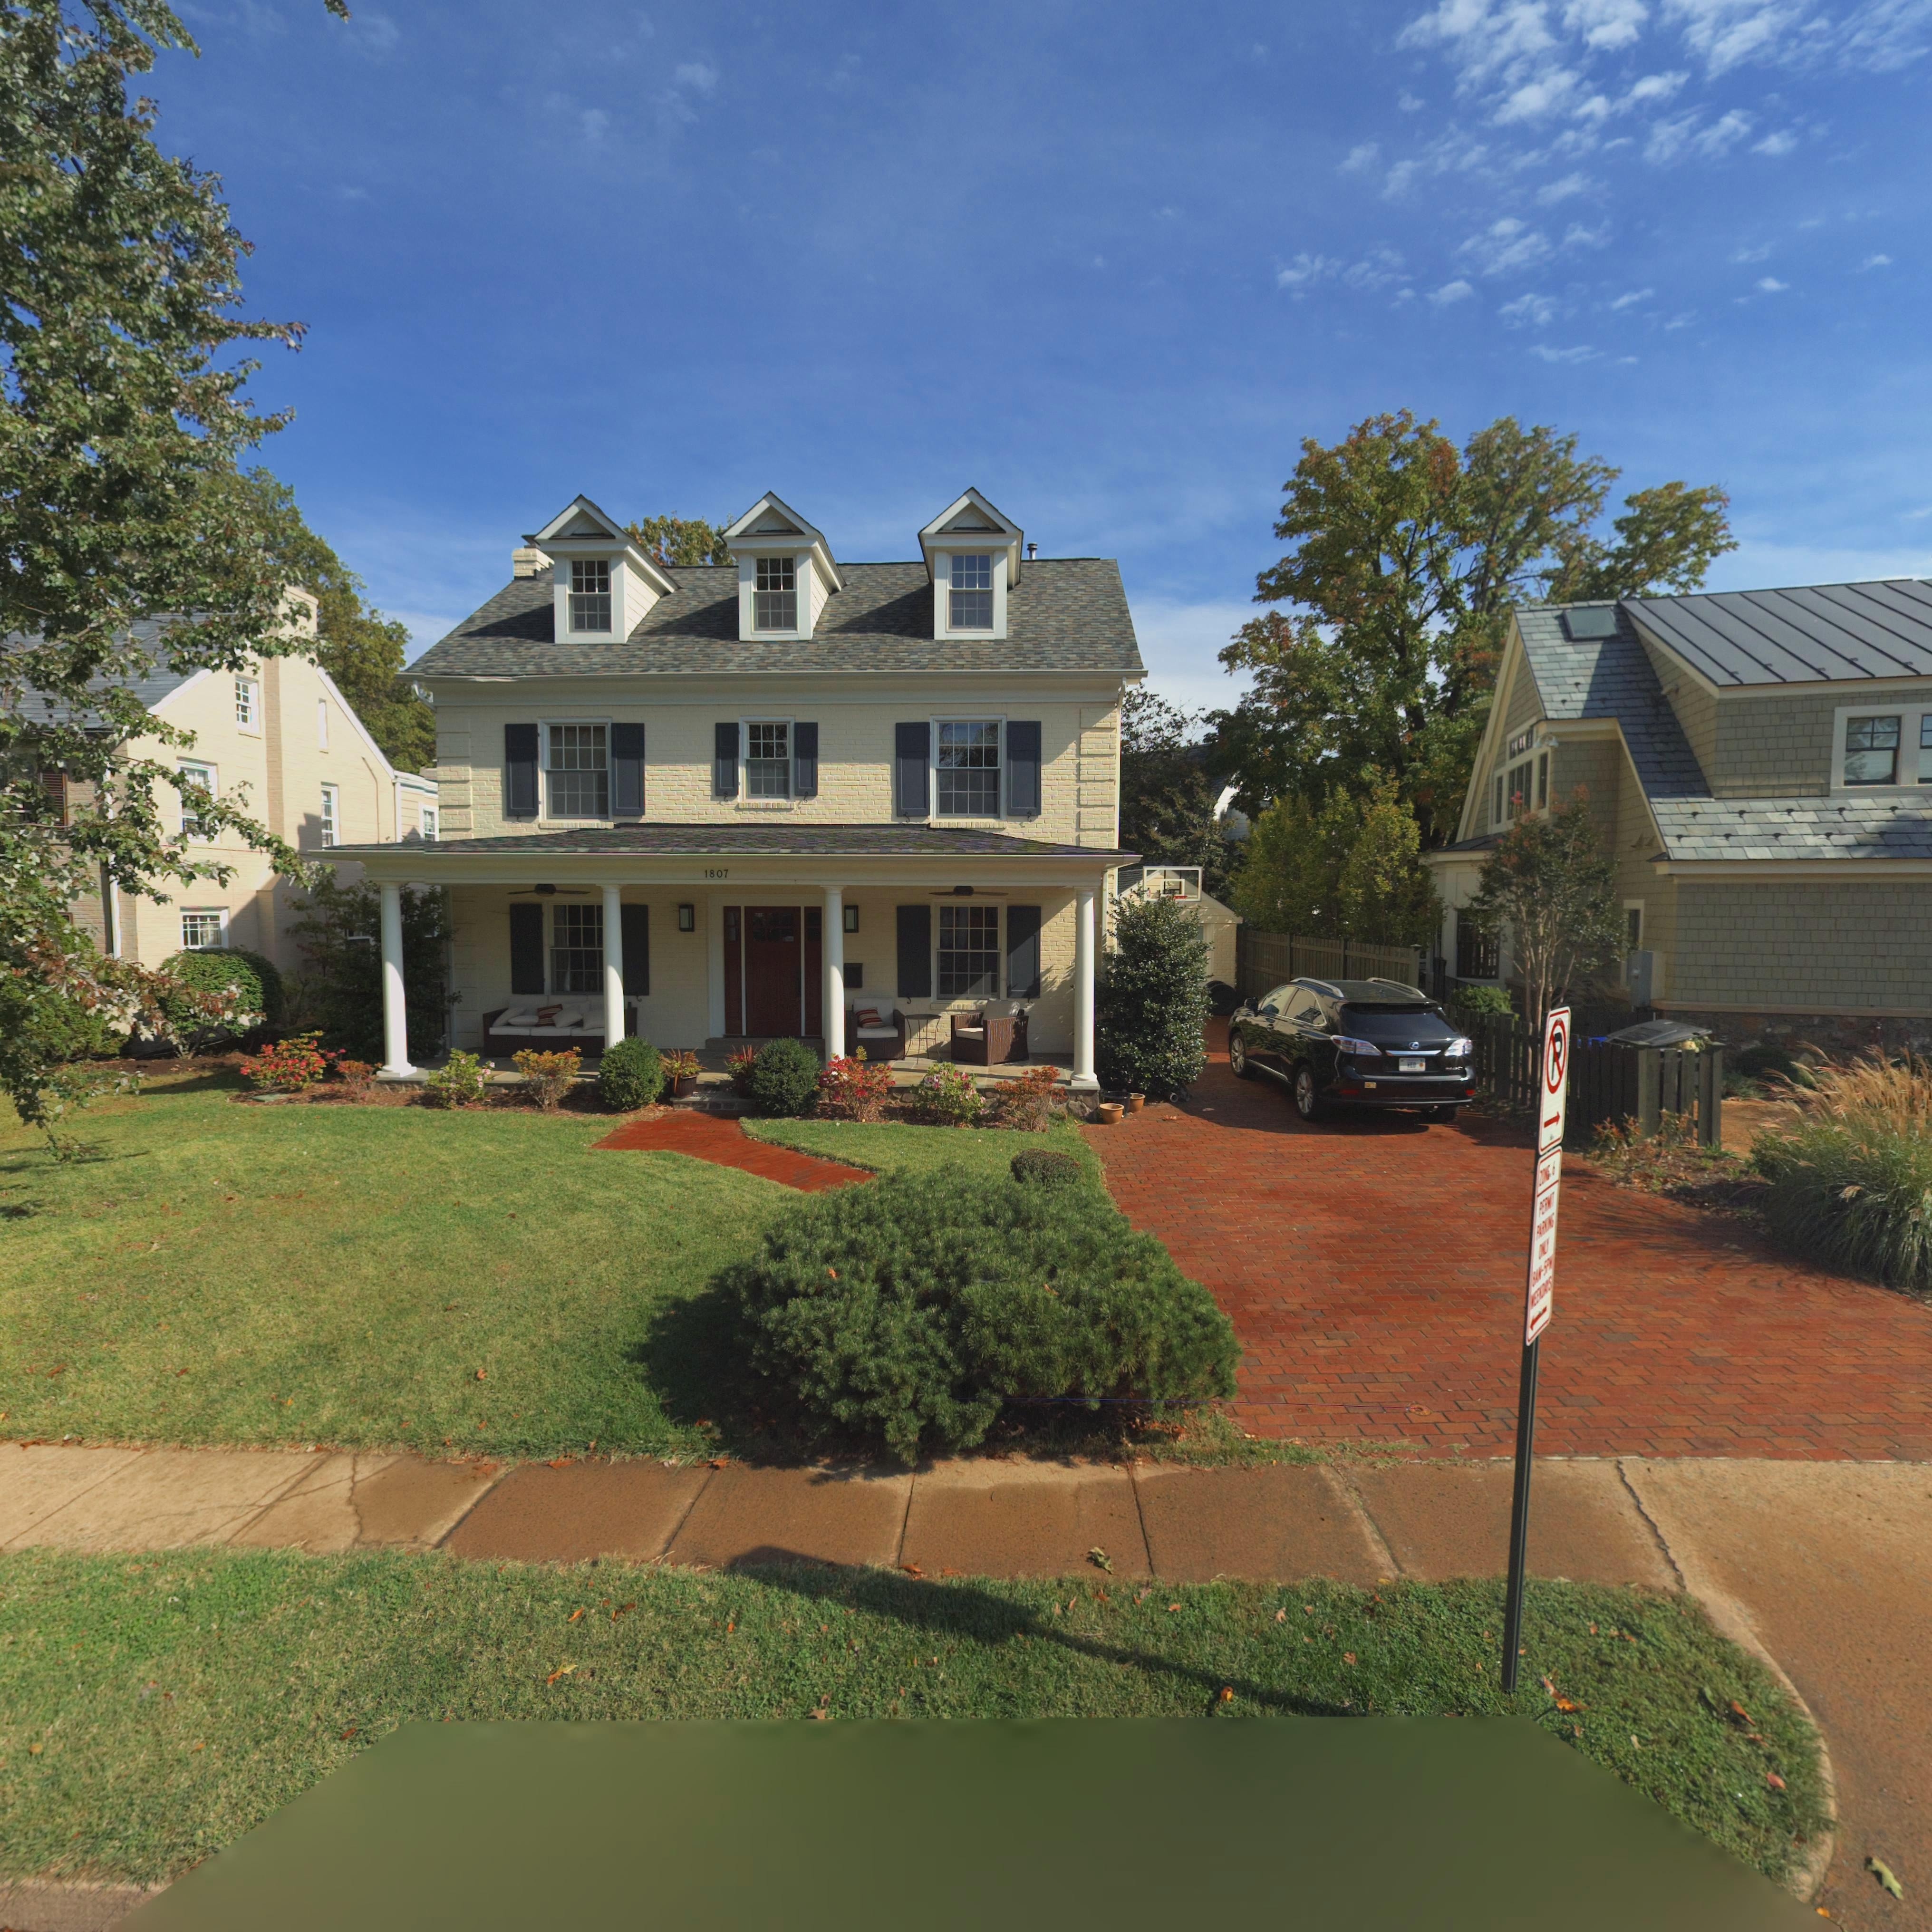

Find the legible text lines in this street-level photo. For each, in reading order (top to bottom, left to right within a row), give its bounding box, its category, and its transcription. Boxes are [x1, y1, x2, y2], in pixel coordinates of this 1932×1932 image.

[703, 868, 730, 879] StreetNumber: 1807